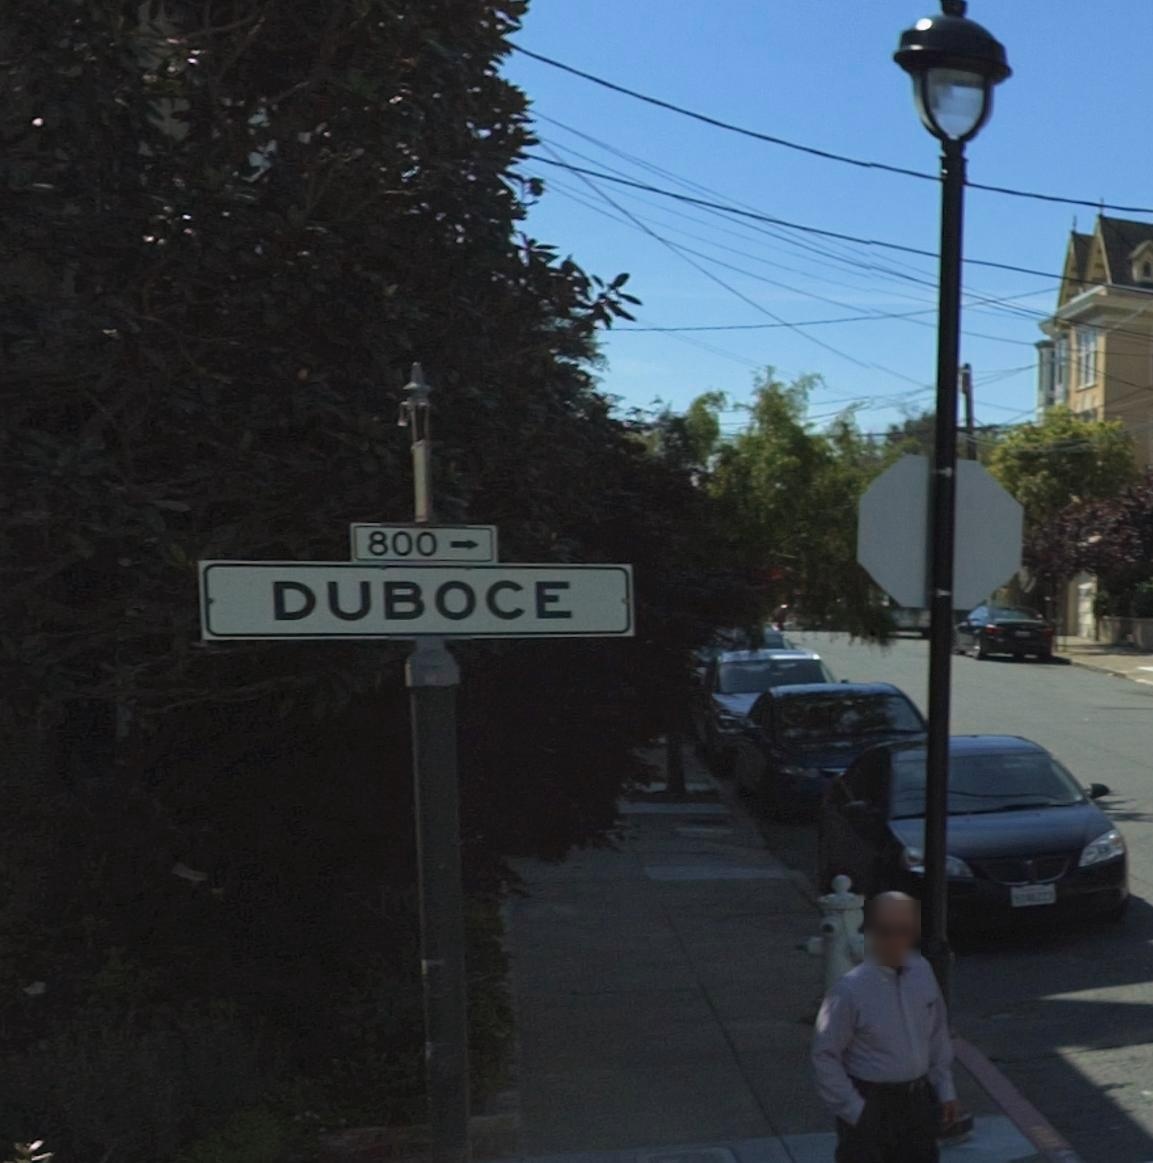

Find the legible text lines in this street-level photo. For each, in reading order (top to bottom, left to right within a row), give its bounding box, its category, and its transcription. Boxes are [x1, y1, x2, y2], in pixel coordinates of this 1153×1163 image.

[364, 523, 481, 557] StreetNumberRange: 800->
[268, 573, 577, 628] StreetName: DUBOCE